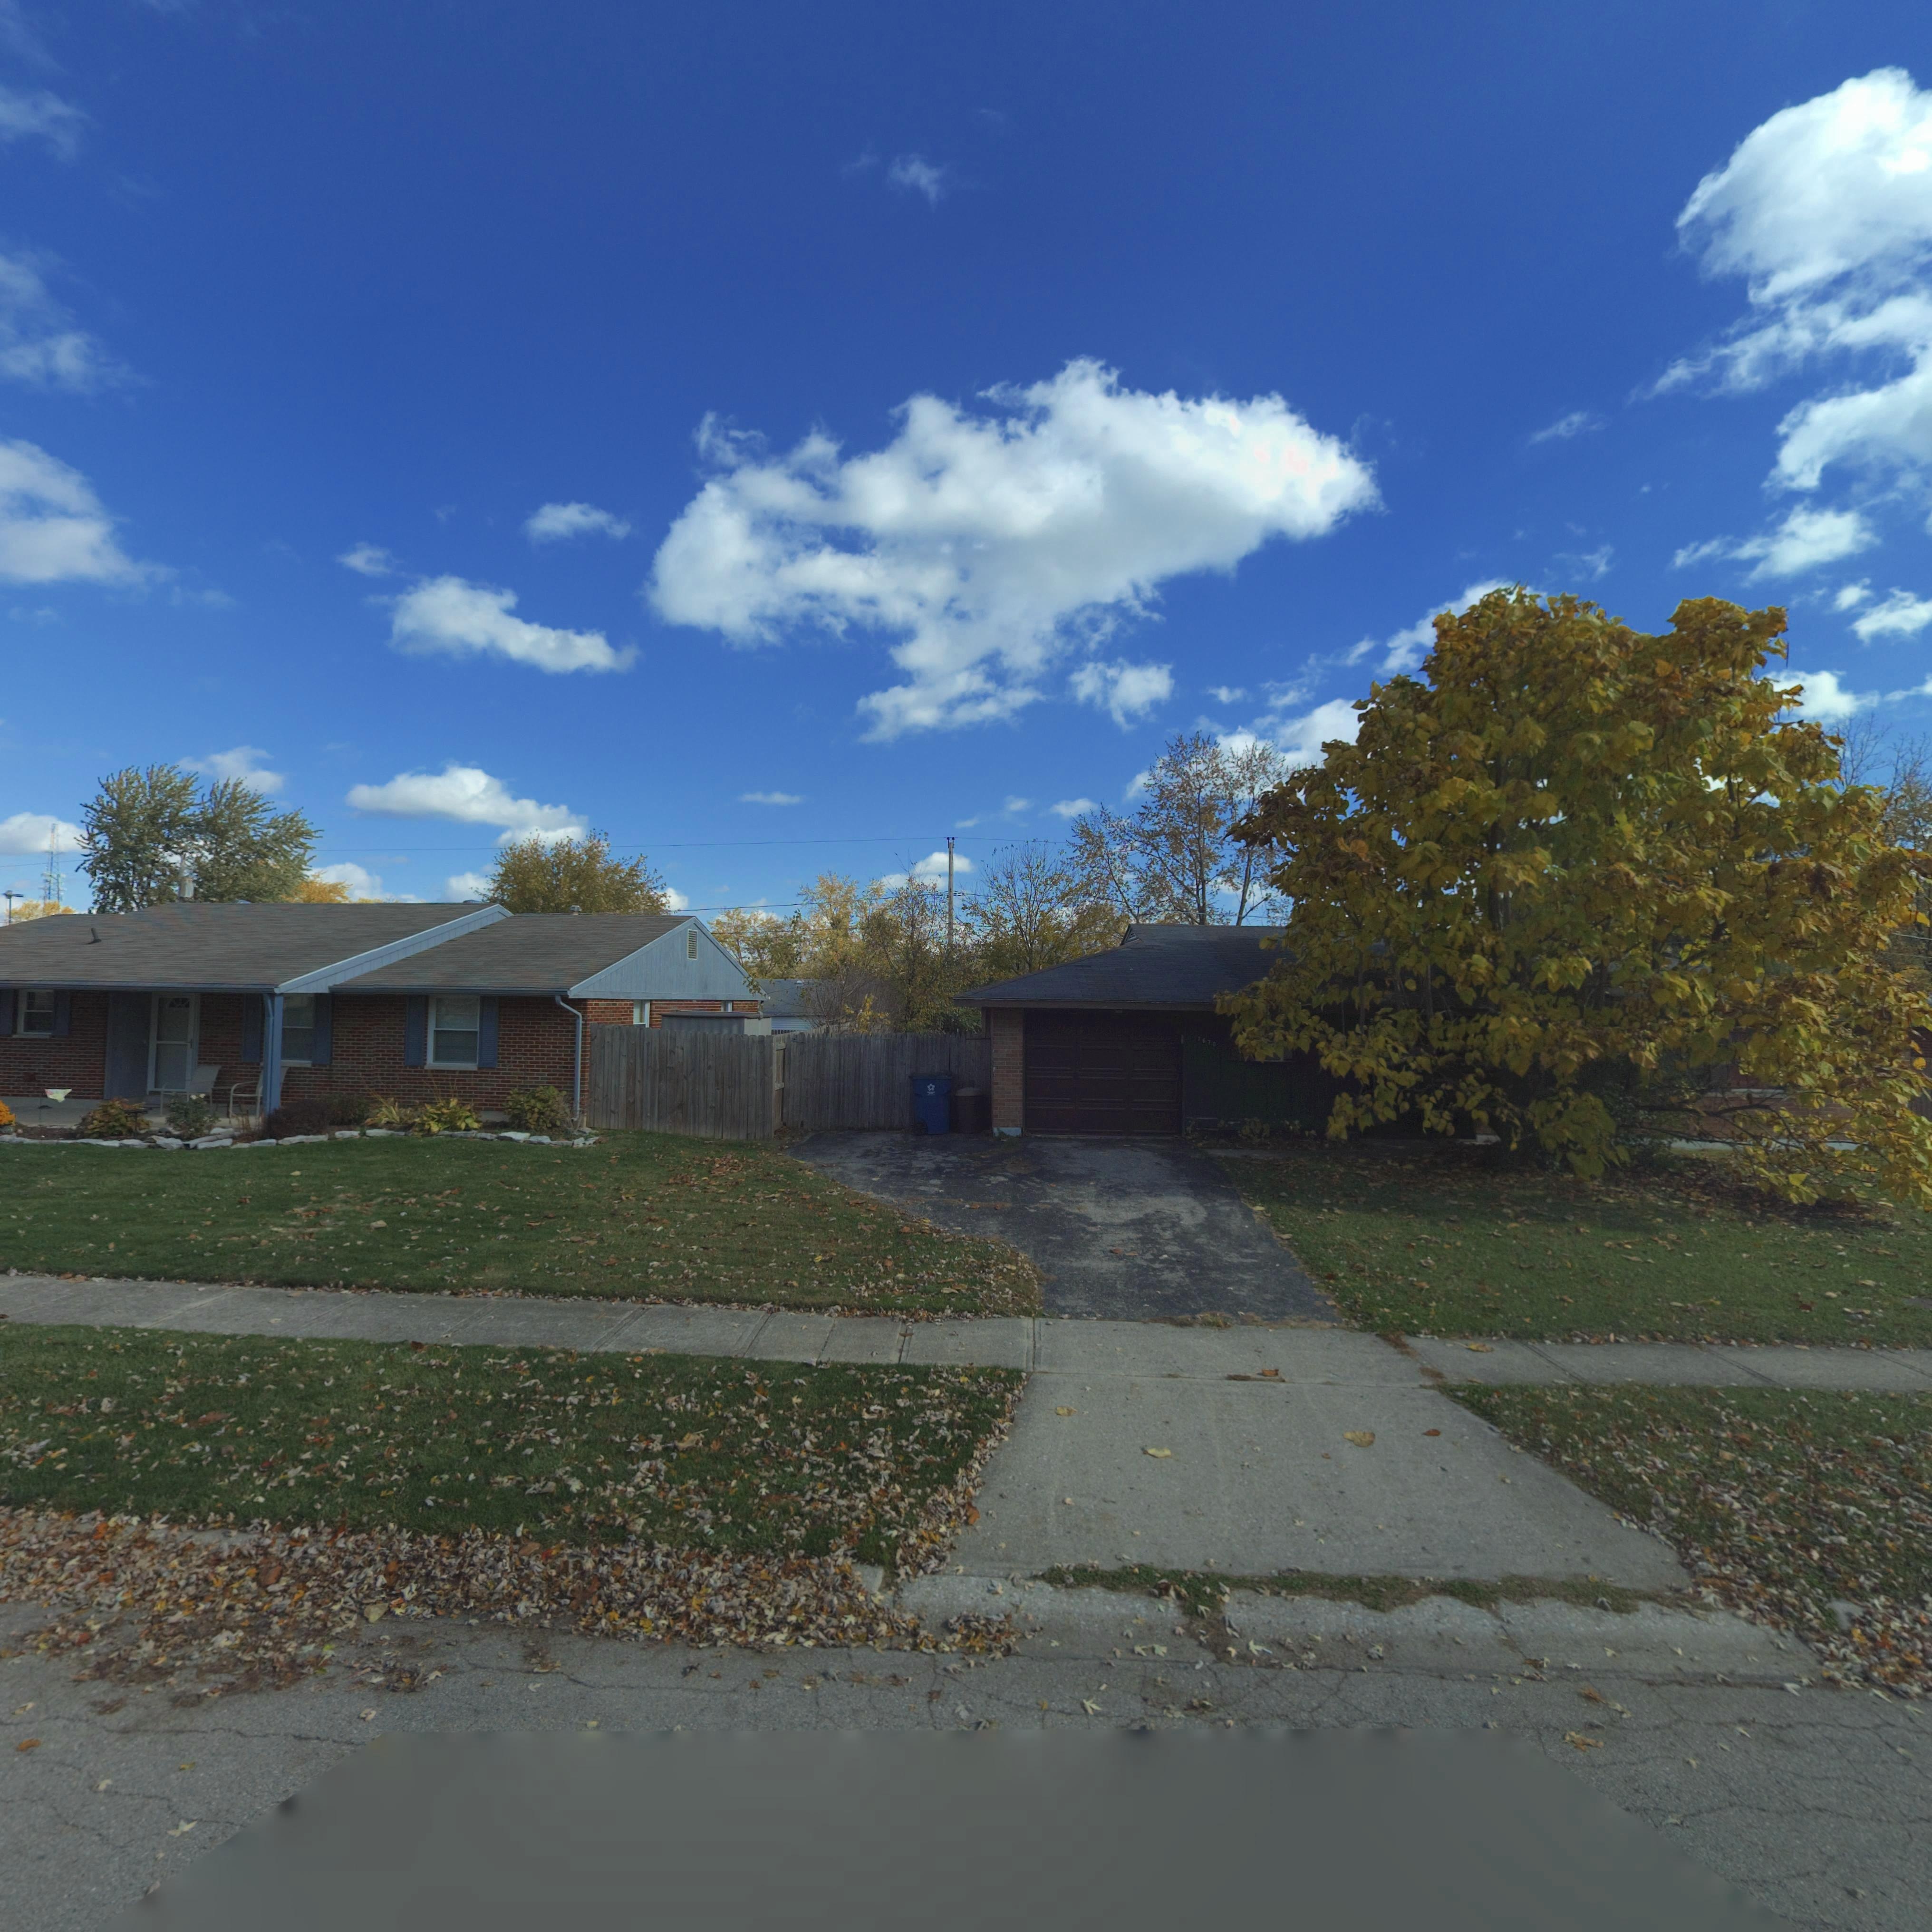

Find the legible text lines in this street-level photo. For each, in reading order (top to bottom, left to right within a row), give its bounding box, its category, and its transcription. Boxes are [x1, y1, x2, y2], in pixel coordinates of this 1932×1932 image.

[1197, 1035, 1217, 1047] StreetNumber: 7670